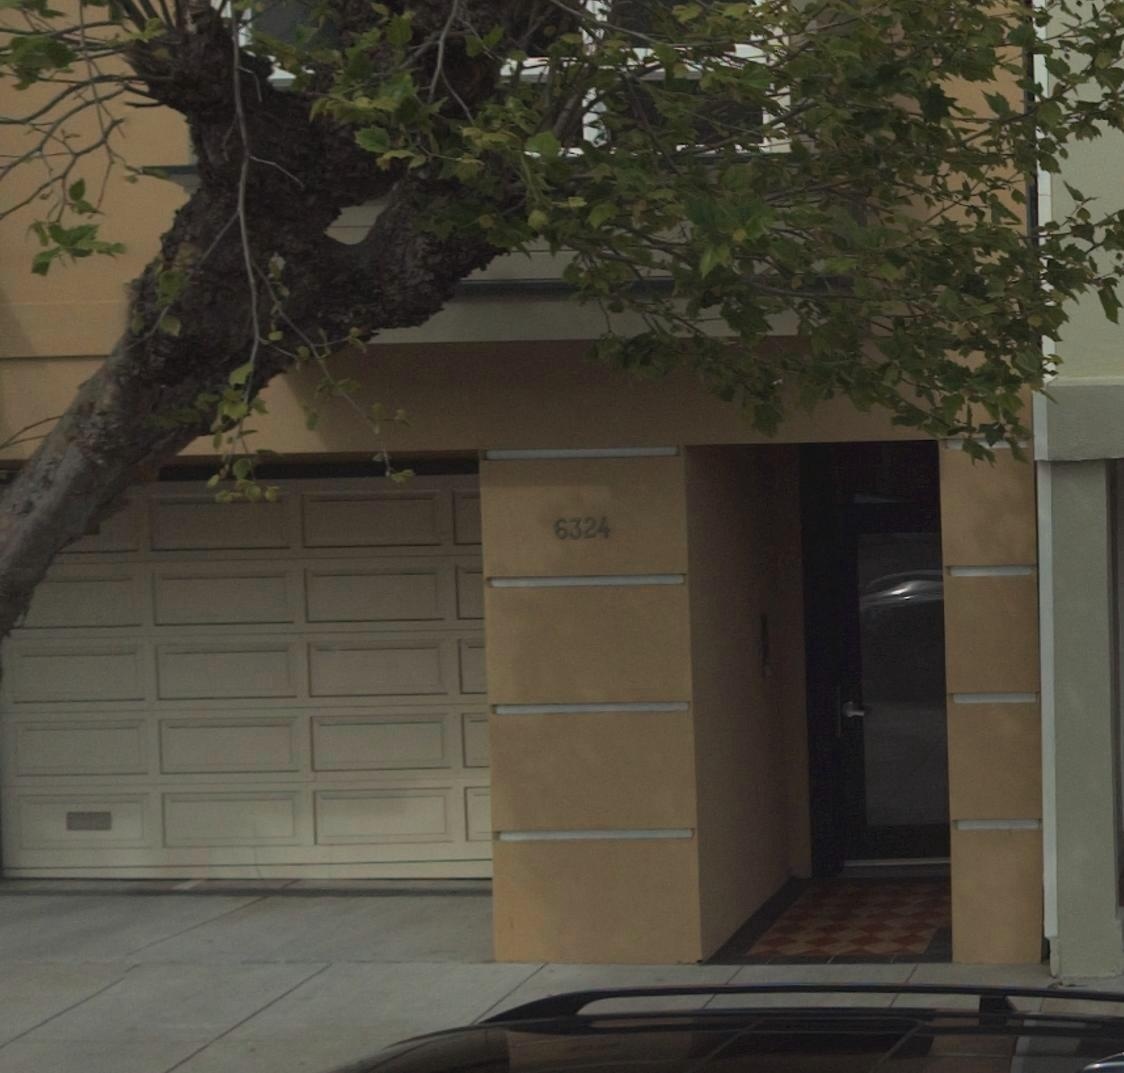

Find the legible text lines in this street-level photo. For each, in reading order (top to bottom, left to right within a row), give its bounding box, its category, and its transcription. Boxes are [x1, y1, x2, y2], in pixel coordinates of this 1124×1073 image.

[553, 513, 612, 543] StreetNumber: 6324